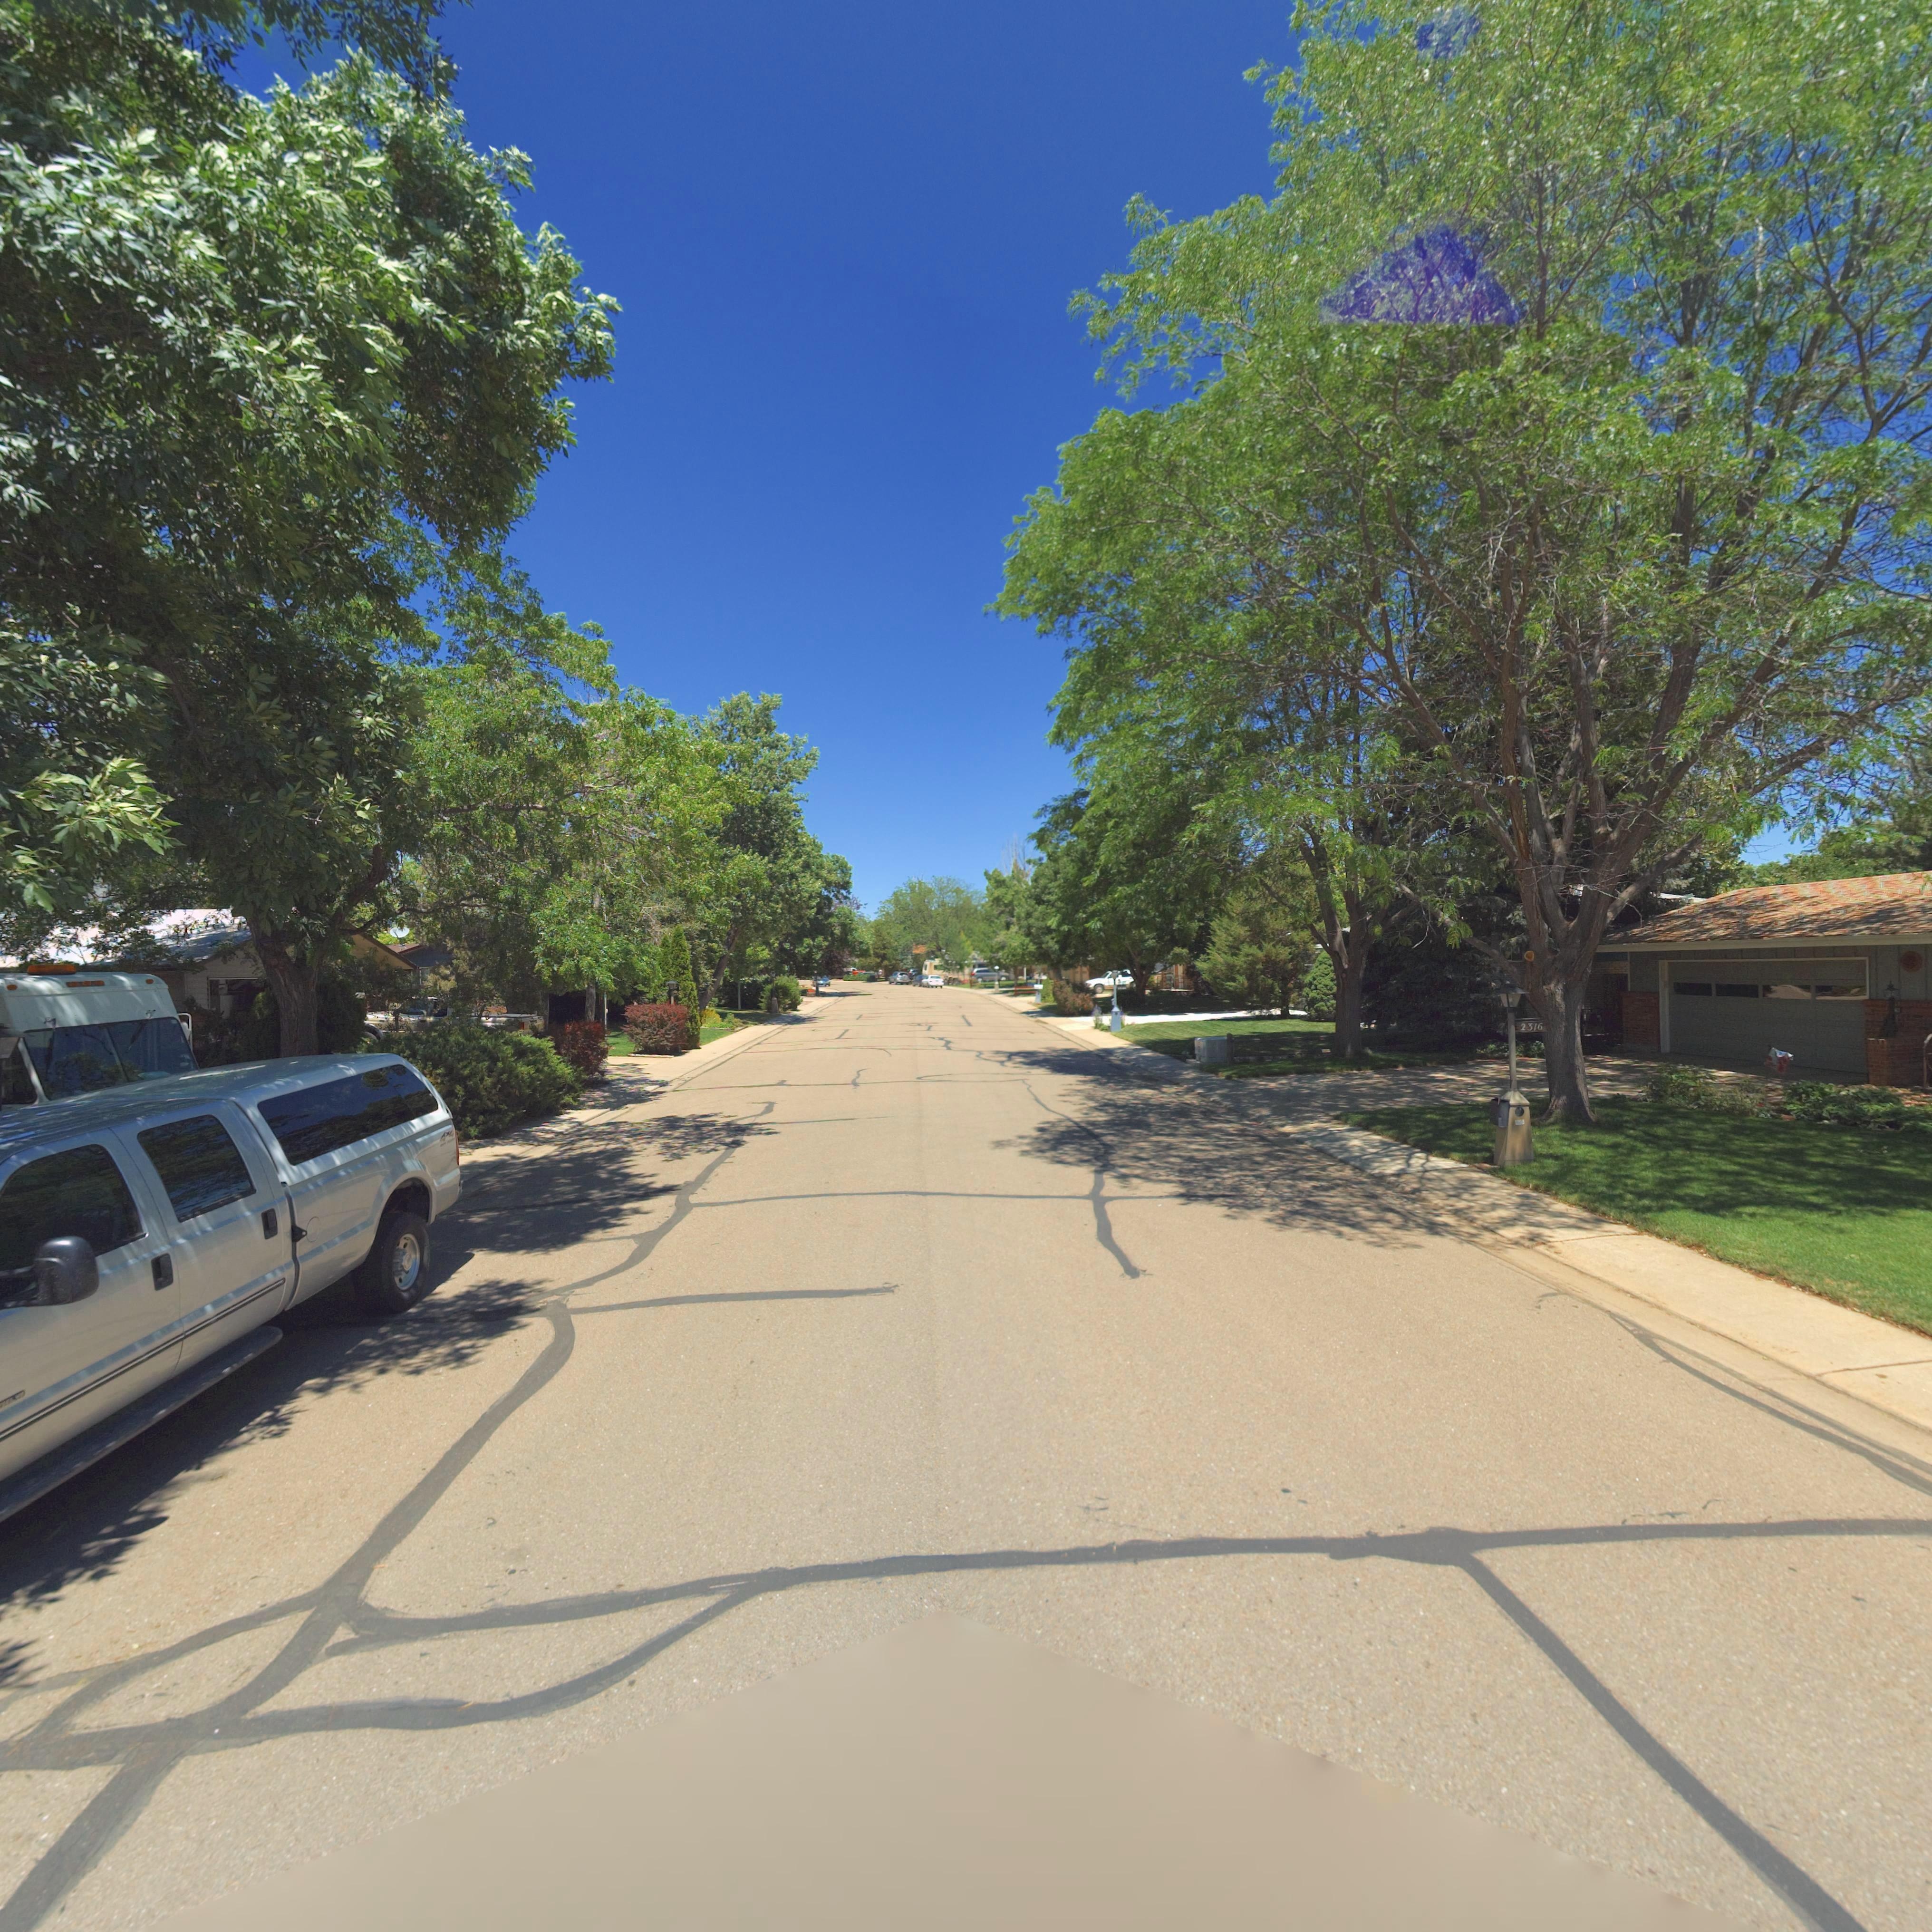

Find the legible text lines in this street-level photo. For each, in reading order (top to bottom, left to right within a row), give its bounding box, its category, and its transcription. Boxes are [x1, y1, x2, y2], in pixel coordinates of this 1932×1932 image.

[1520, 1022, 1544, 1032] StreetNumber: 2316